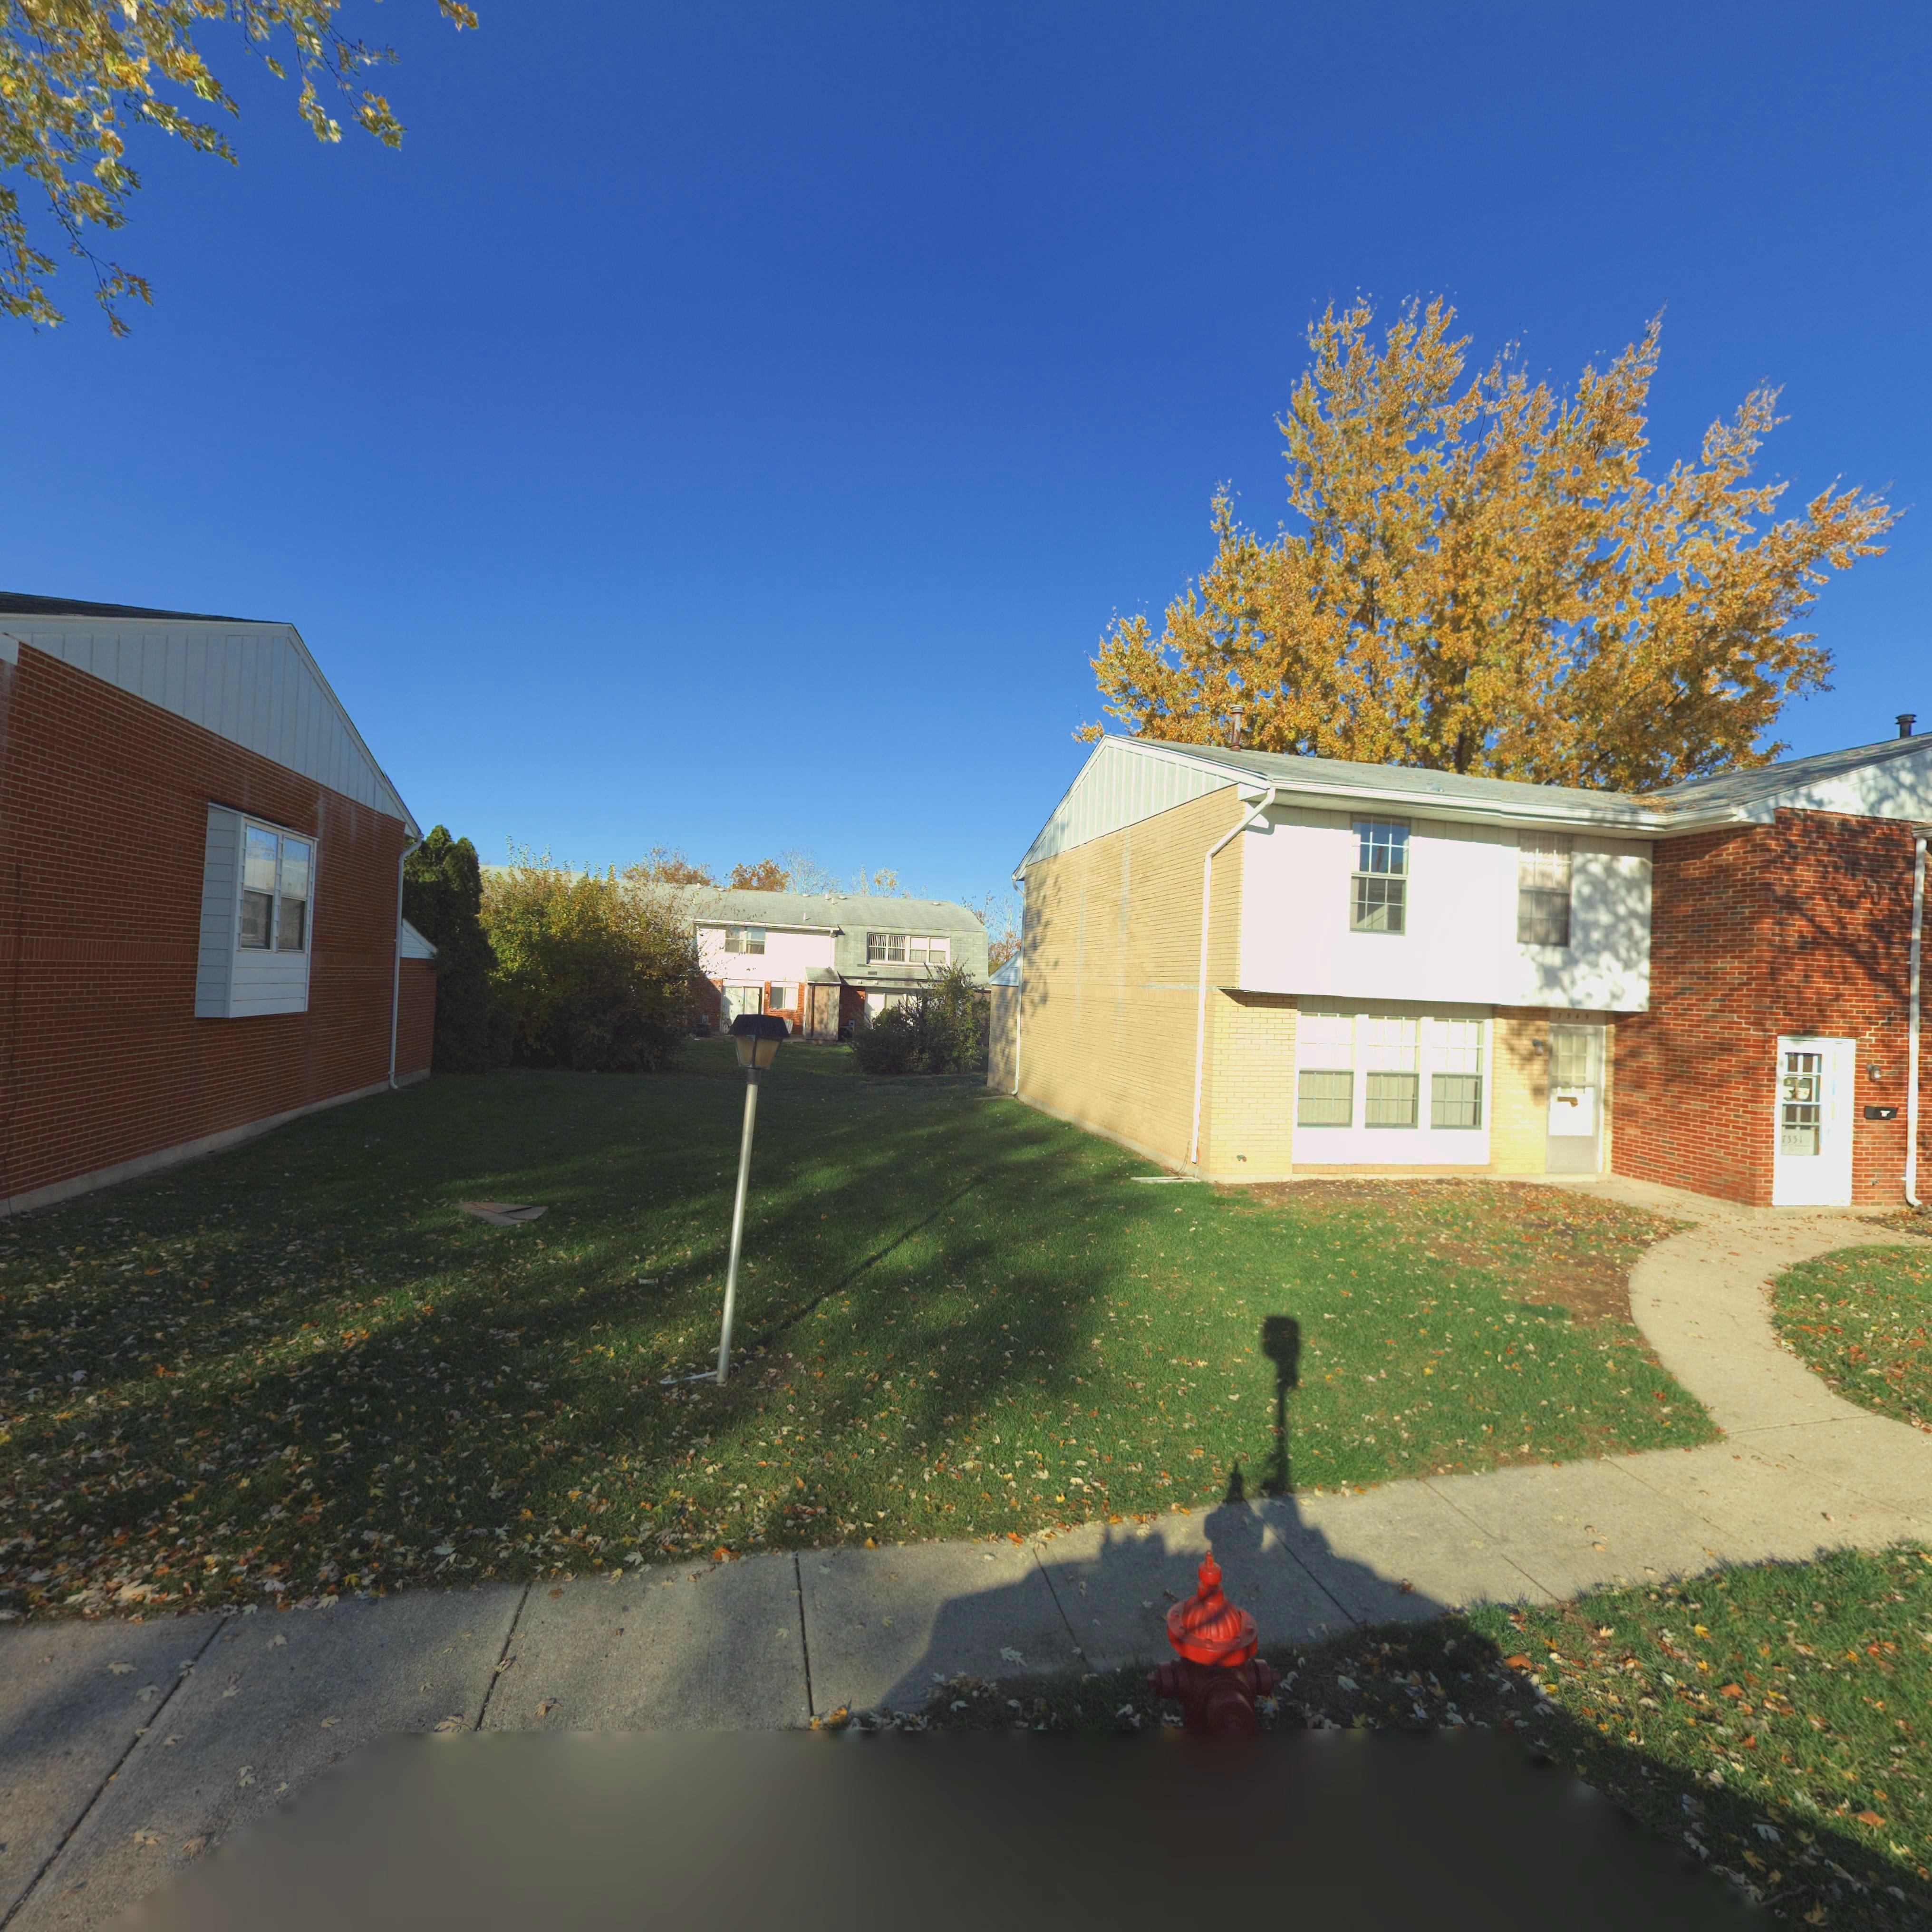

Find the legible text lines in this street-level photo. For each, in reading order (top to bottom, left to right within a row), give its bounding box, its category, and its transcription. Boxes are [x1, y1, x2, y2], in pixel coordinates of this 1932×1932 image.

[1556, 1012, 1590, 1021] StreetNumber: 7549
[1781, 1134, 1804, 1145] StreetNumber: 7551